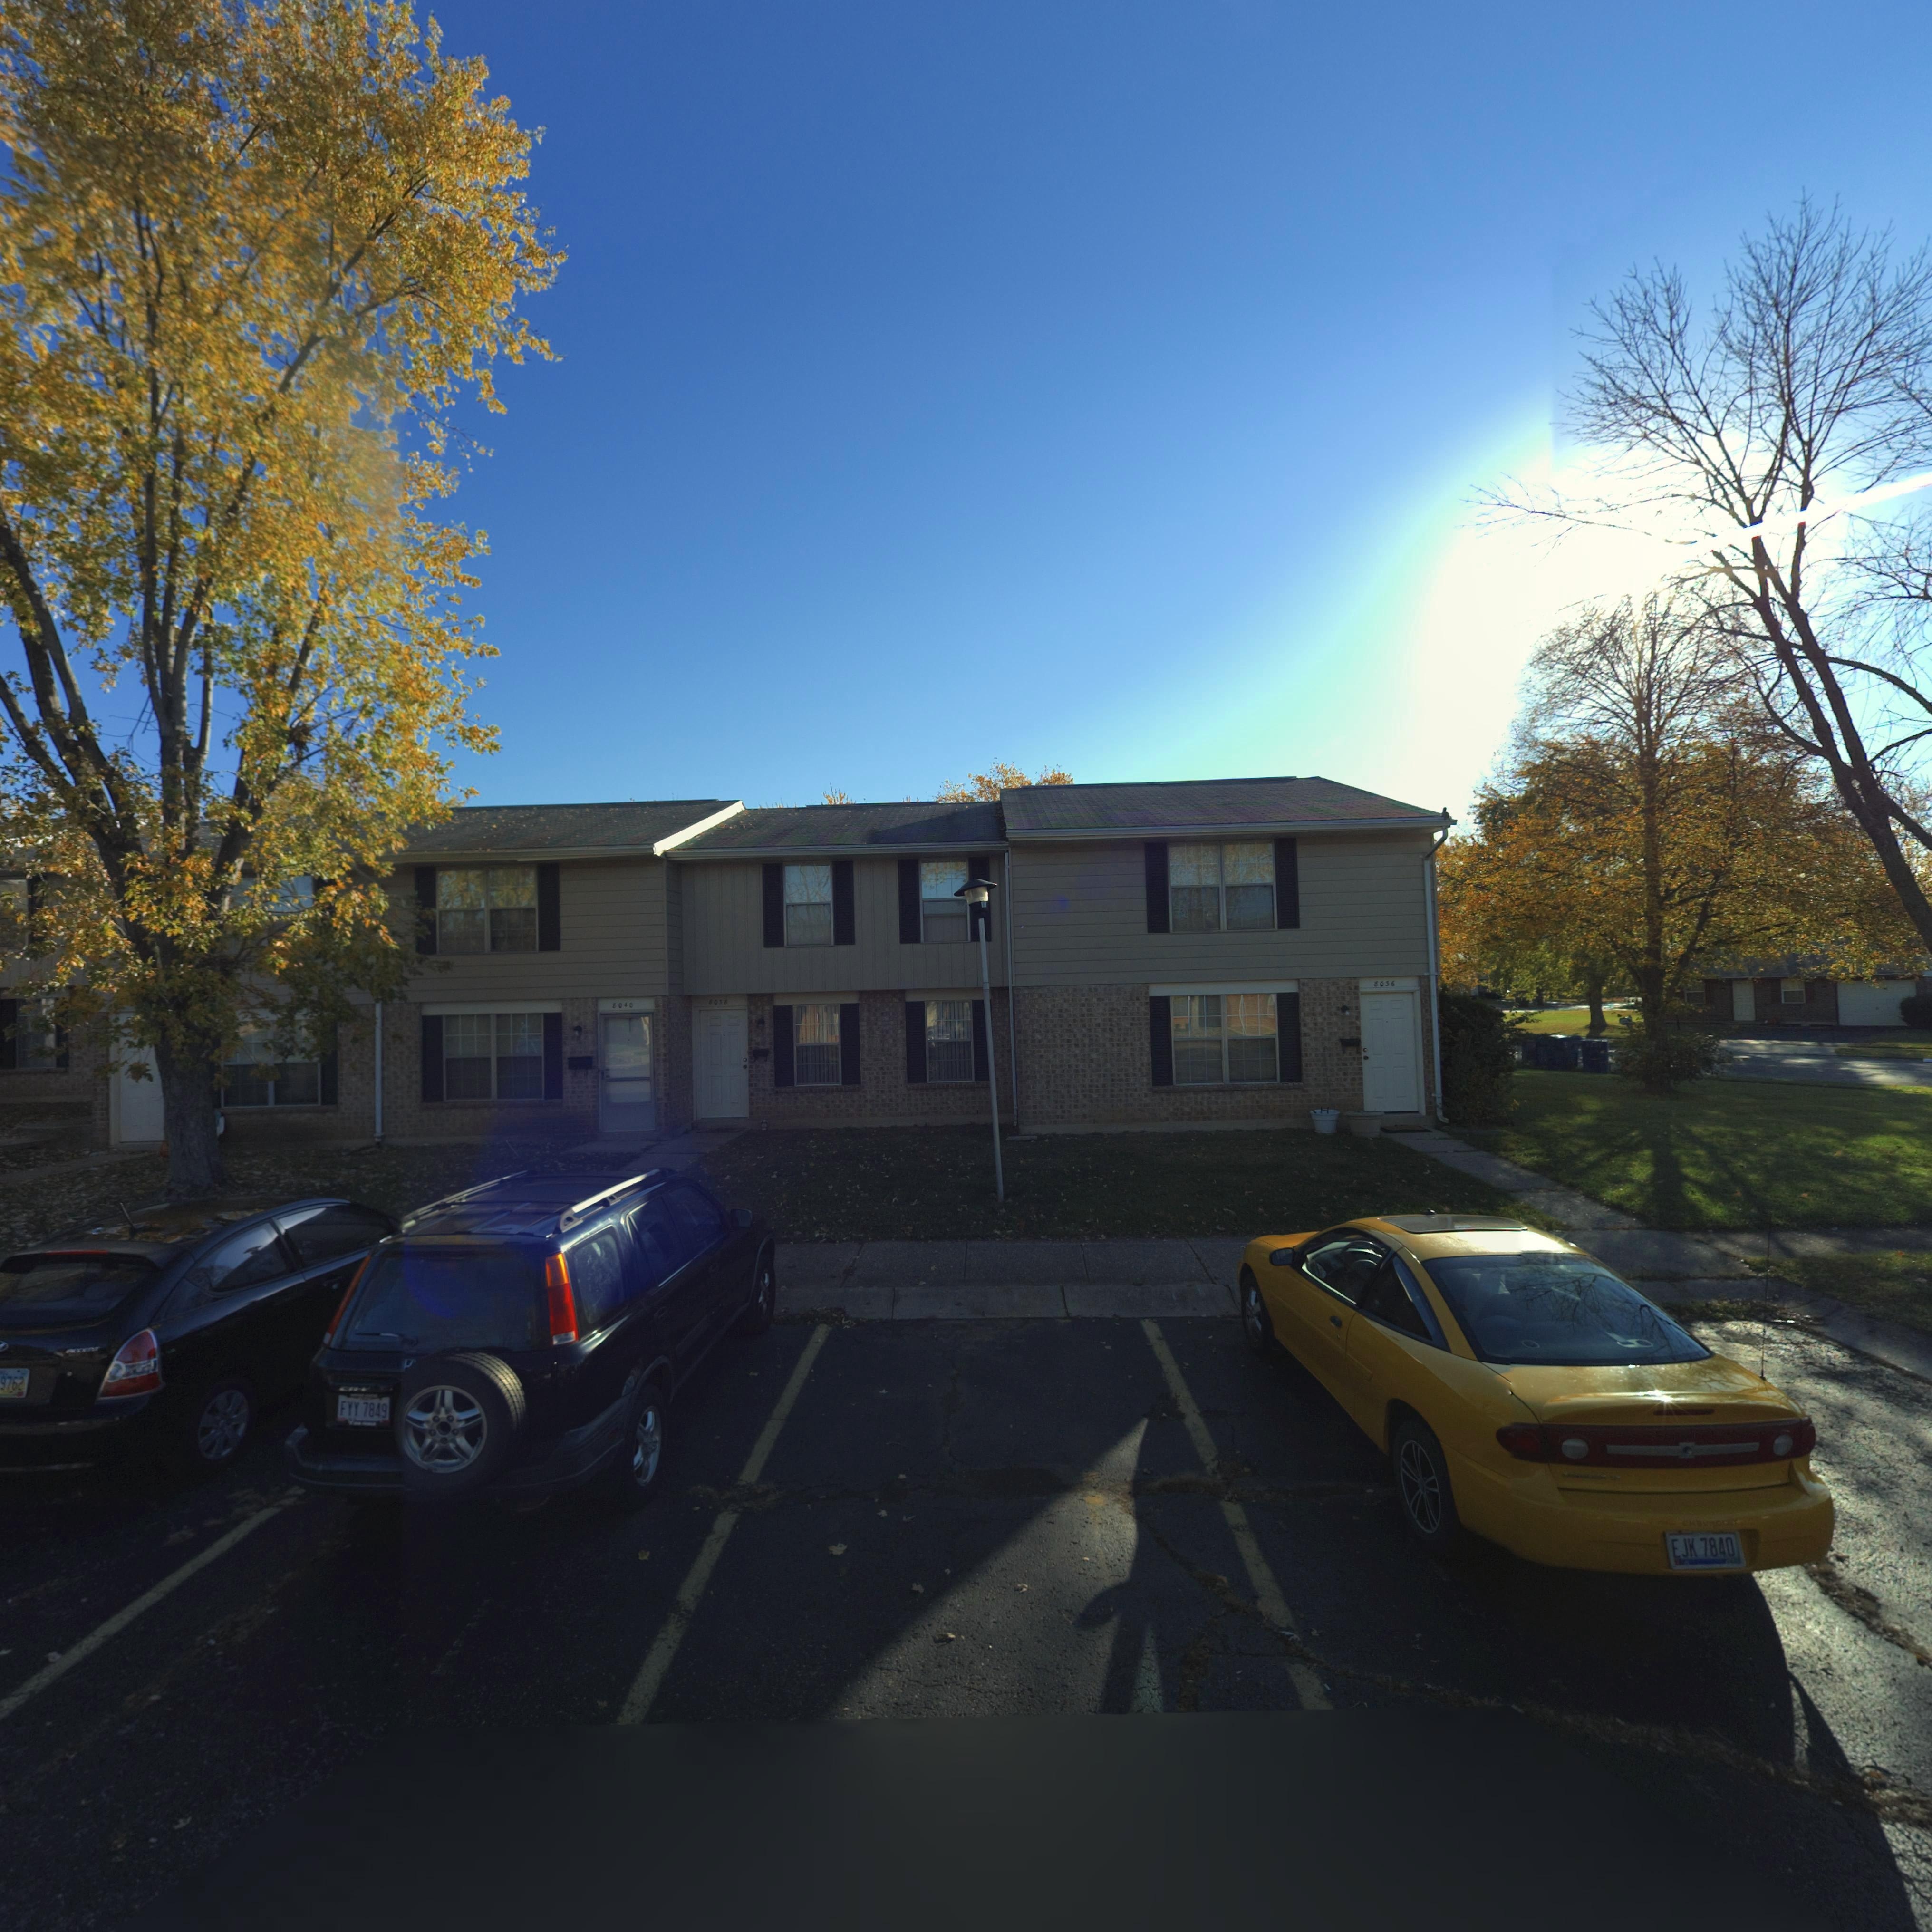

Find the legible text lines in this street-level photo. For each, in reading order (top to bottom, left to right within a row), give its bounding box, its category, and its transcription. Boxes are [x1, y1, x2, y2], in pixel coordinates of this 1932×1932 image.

[1372, 980, 1396, 988] StreetNumber: 8036
[611, 1001, 635, 1010] StreetNumber: 8040
[708, 998, 729, 1006] StreetNumber: 80*8
[2, 1374, 26, 1396] None: 762
[337, 1399, 389, 1420] None: FYY 7849
[1670, 1536, 1737, 1560] None: EJK 7840